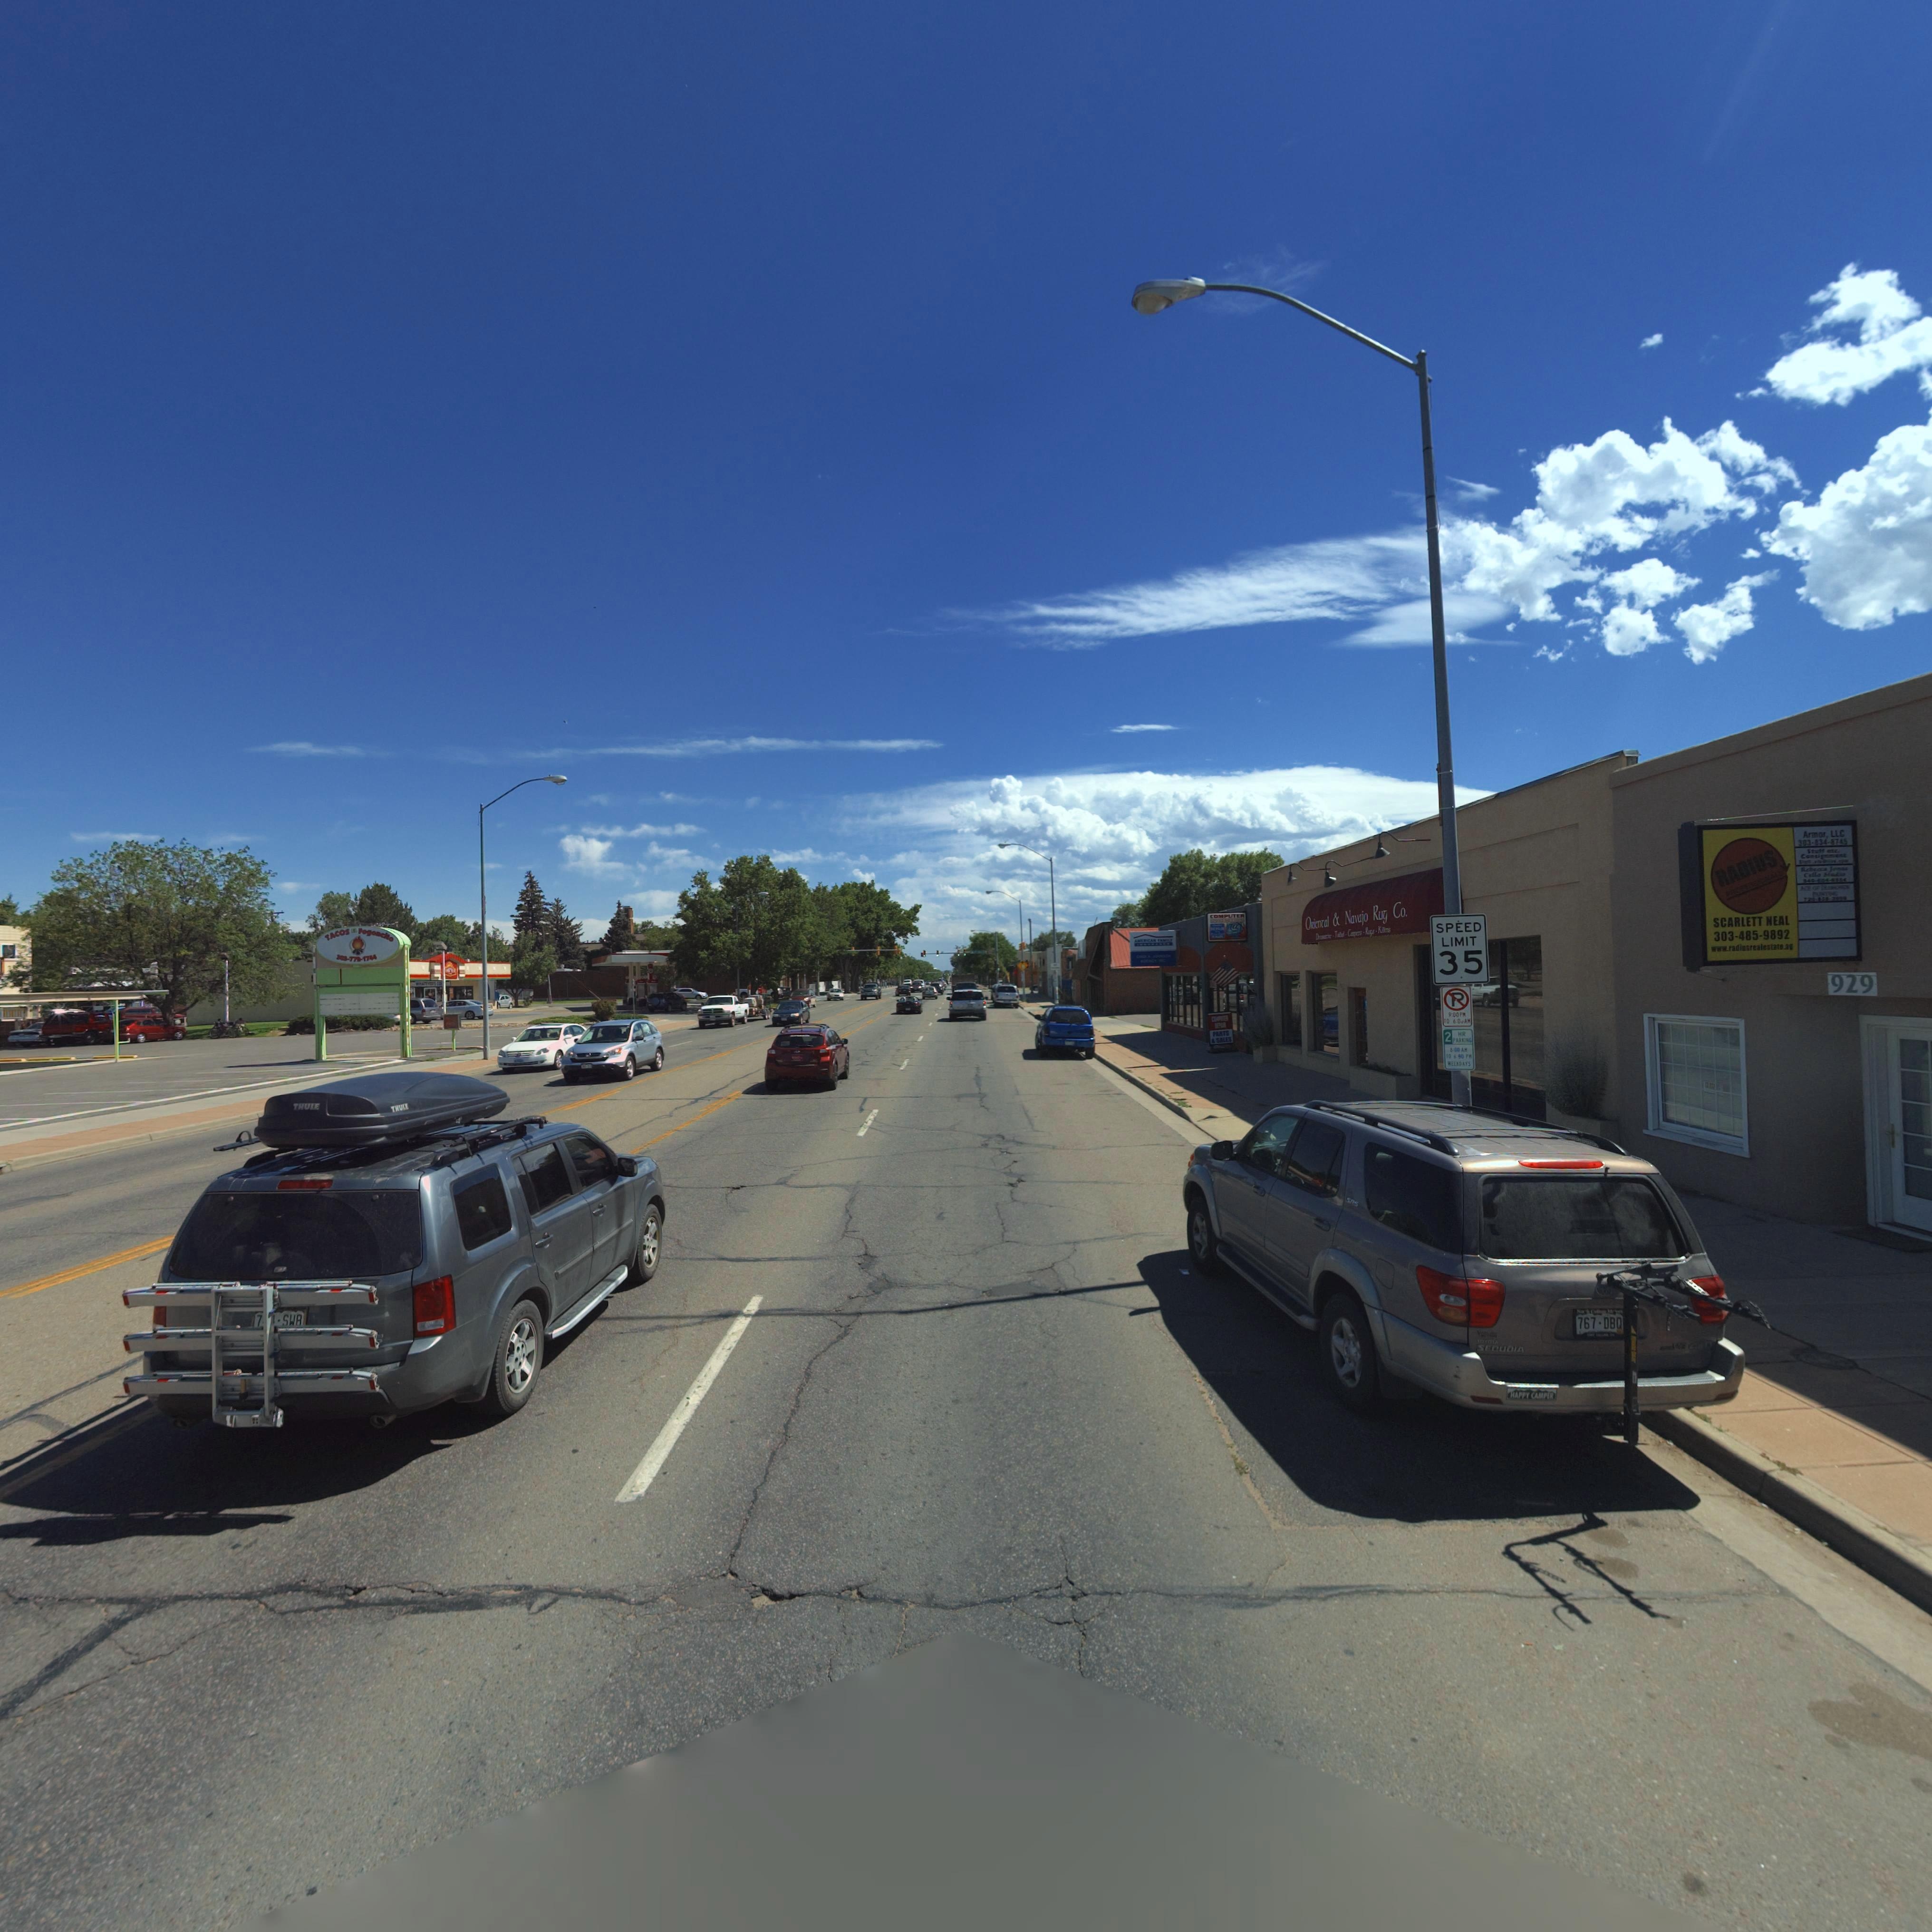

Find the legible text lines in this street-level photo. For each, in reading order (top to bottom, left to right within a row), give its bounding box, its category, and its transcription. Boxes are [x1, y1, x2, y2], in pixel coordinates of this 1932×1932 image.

[1802, 829, 1845, 838] BusinessName: Armor, LLC
[1806, 848, 1840, 854] BusinessName: Stats etc
[1800, 852, 1847, 860] BusinessName: Consig****t
[1714, 849, 1777, 889] BusinessName: RADIUS
[1801, 866, 1848, 872] BusinessName: Rebecca Jonas
[1803, 871, 1845, 878] BusinessName: Cello Studio
[1800, 884, 1849, 891] BusinessName: ACE OF *******
[1812, 891, 1838, 897] BusinessName: PA**T*NG
[1210, 914, 1244, 918] BusinessName: COMPUTER
[1304, 901, 1407, 930] BusinessName: O*ienTal & Navajo Rug Co.
[324, 927, 394, 942] BusinessName: TACOS ** Fogo*c**o
[1134, 938, 1173, 942] BusinessName: AM*RICAN FAMILY
[1137, 942, 1170, 946] BusinessName: IN*UR*NC*
[1831, 974, 1873, 994] StreetNumber: 929